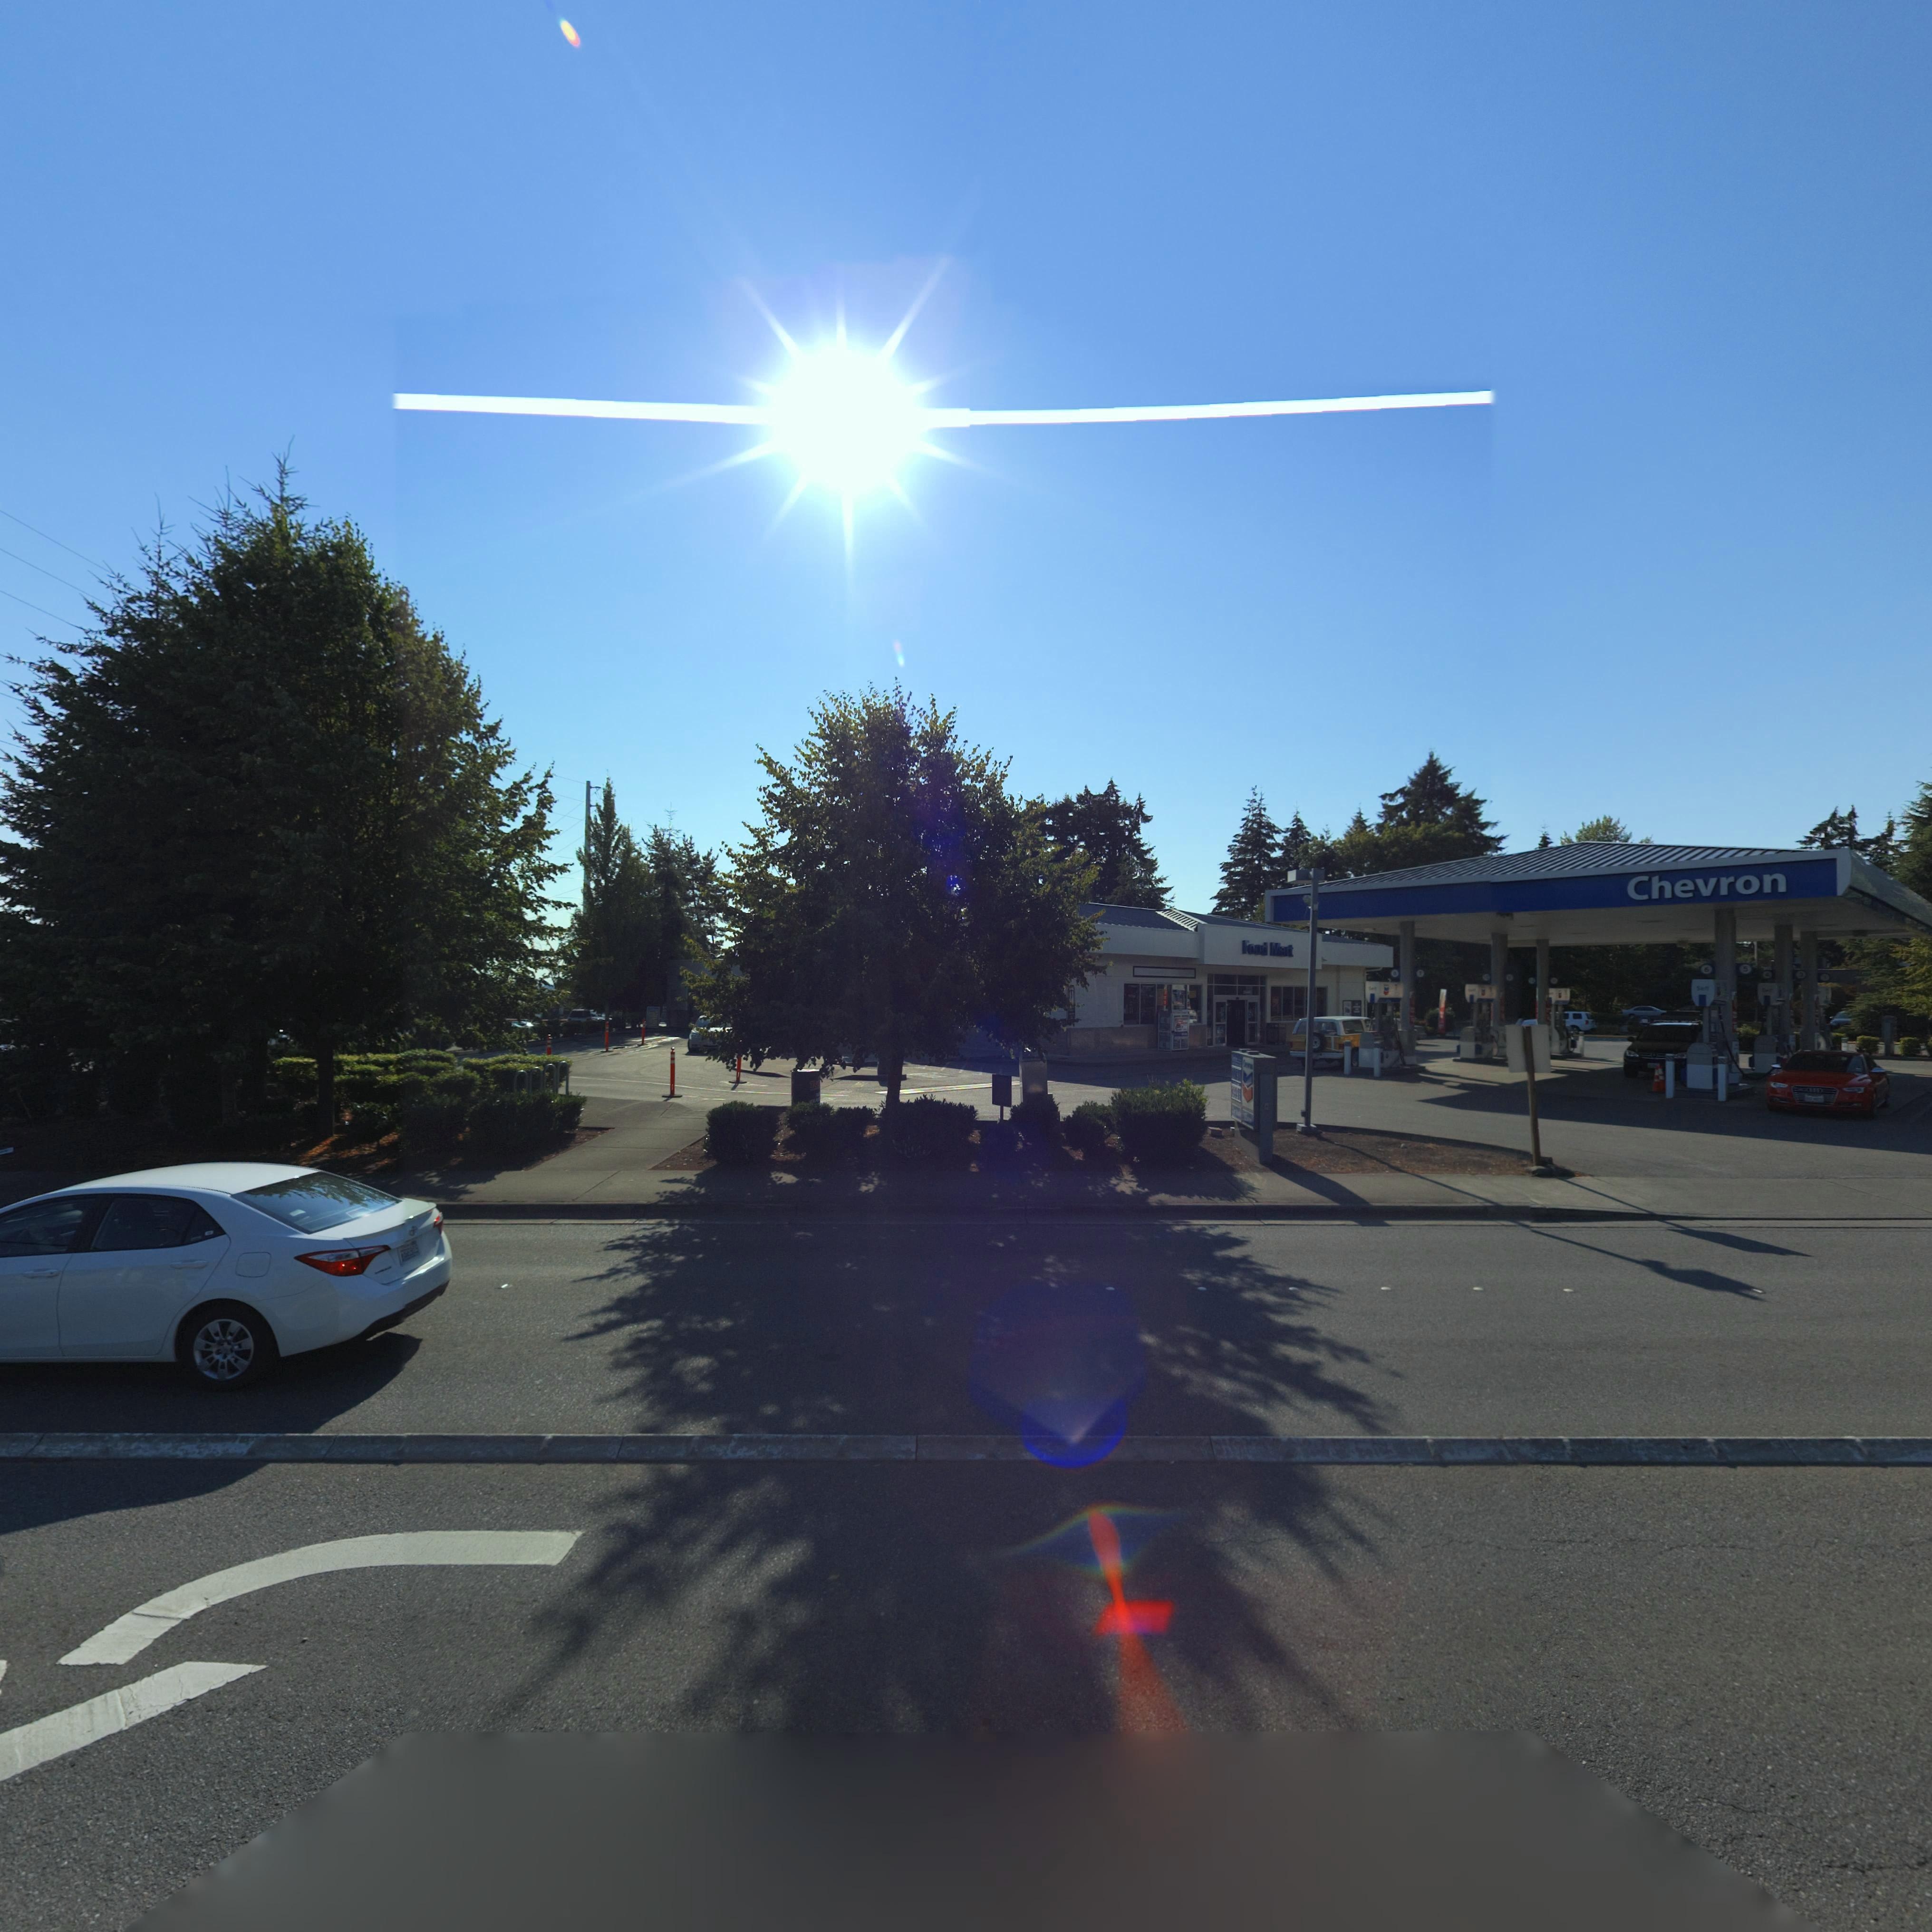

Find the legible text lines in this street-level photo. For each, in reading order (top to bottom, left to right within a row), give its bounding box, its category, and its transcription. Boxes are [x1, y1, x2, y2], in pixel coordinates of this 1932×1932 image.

[1626, 873, 1787, 900] BusinessName: Chevron